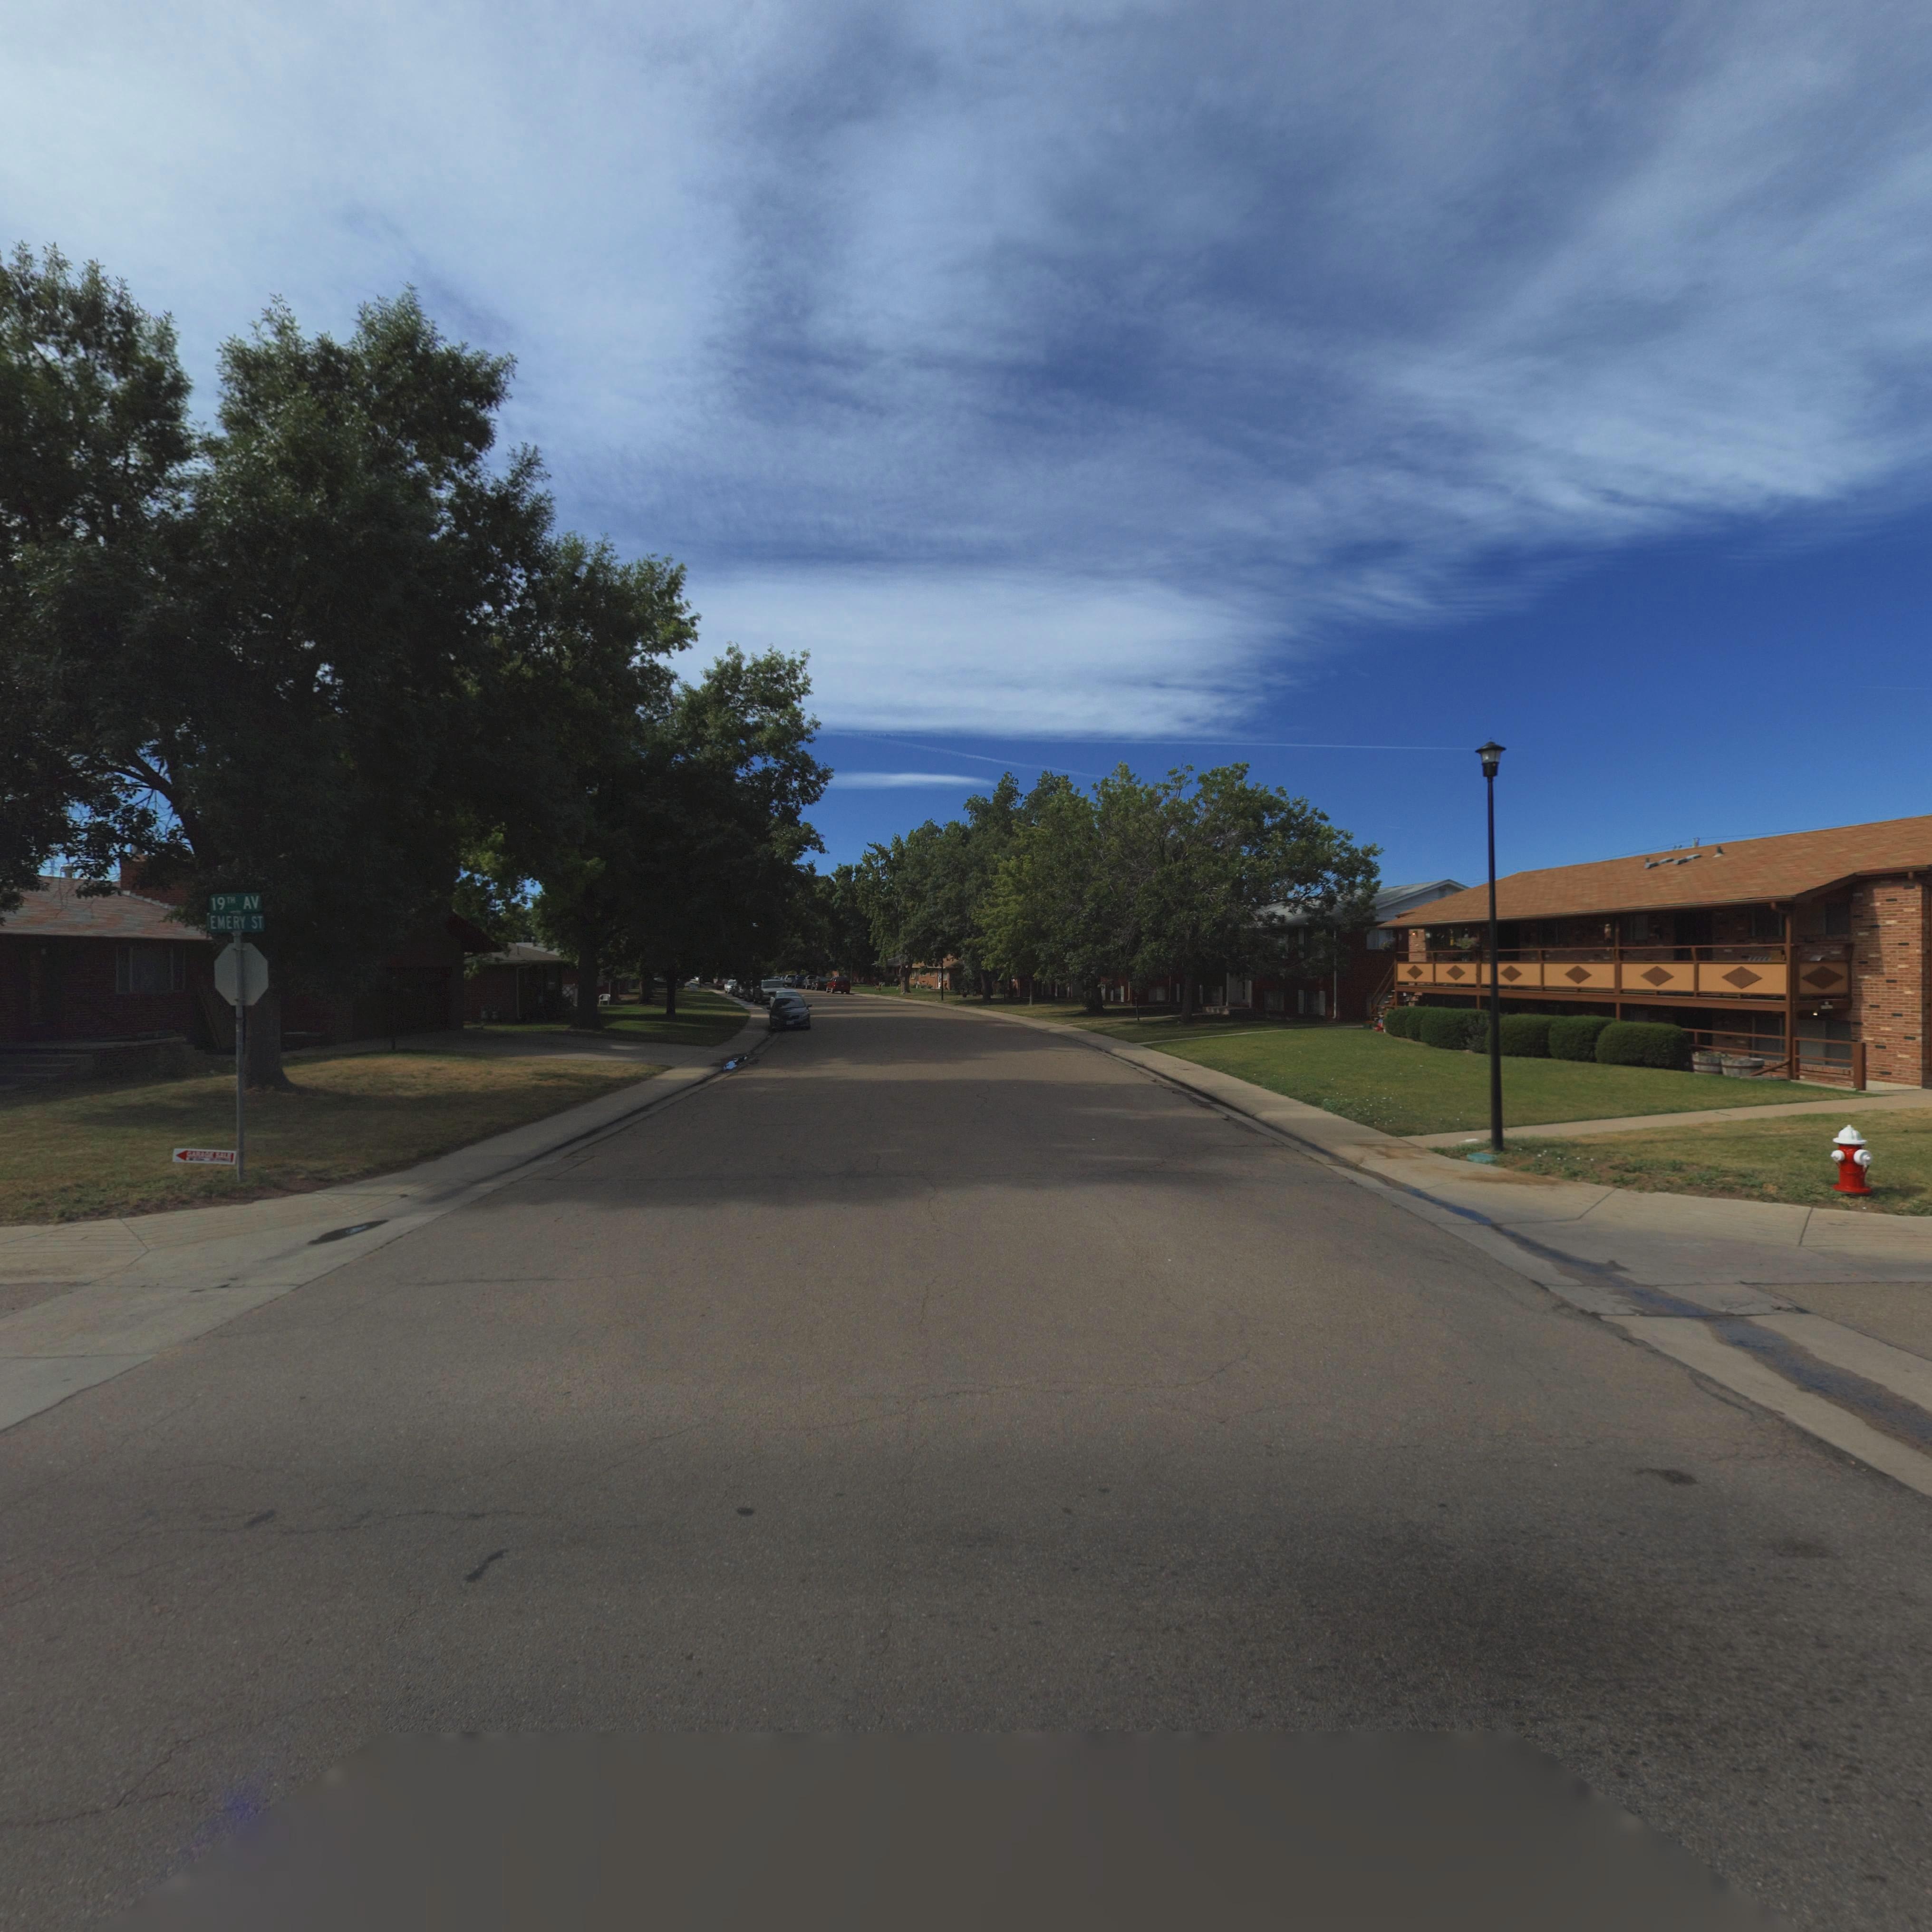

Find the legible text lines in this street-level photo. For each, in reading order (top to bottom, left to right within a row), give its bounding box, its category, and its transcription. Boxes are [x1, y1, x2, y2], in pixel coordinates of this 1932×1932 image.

[211, 894, 261, 912] StreetName: 19TH AV
[209, 914, 264, 930] StreetName: EMERY ST